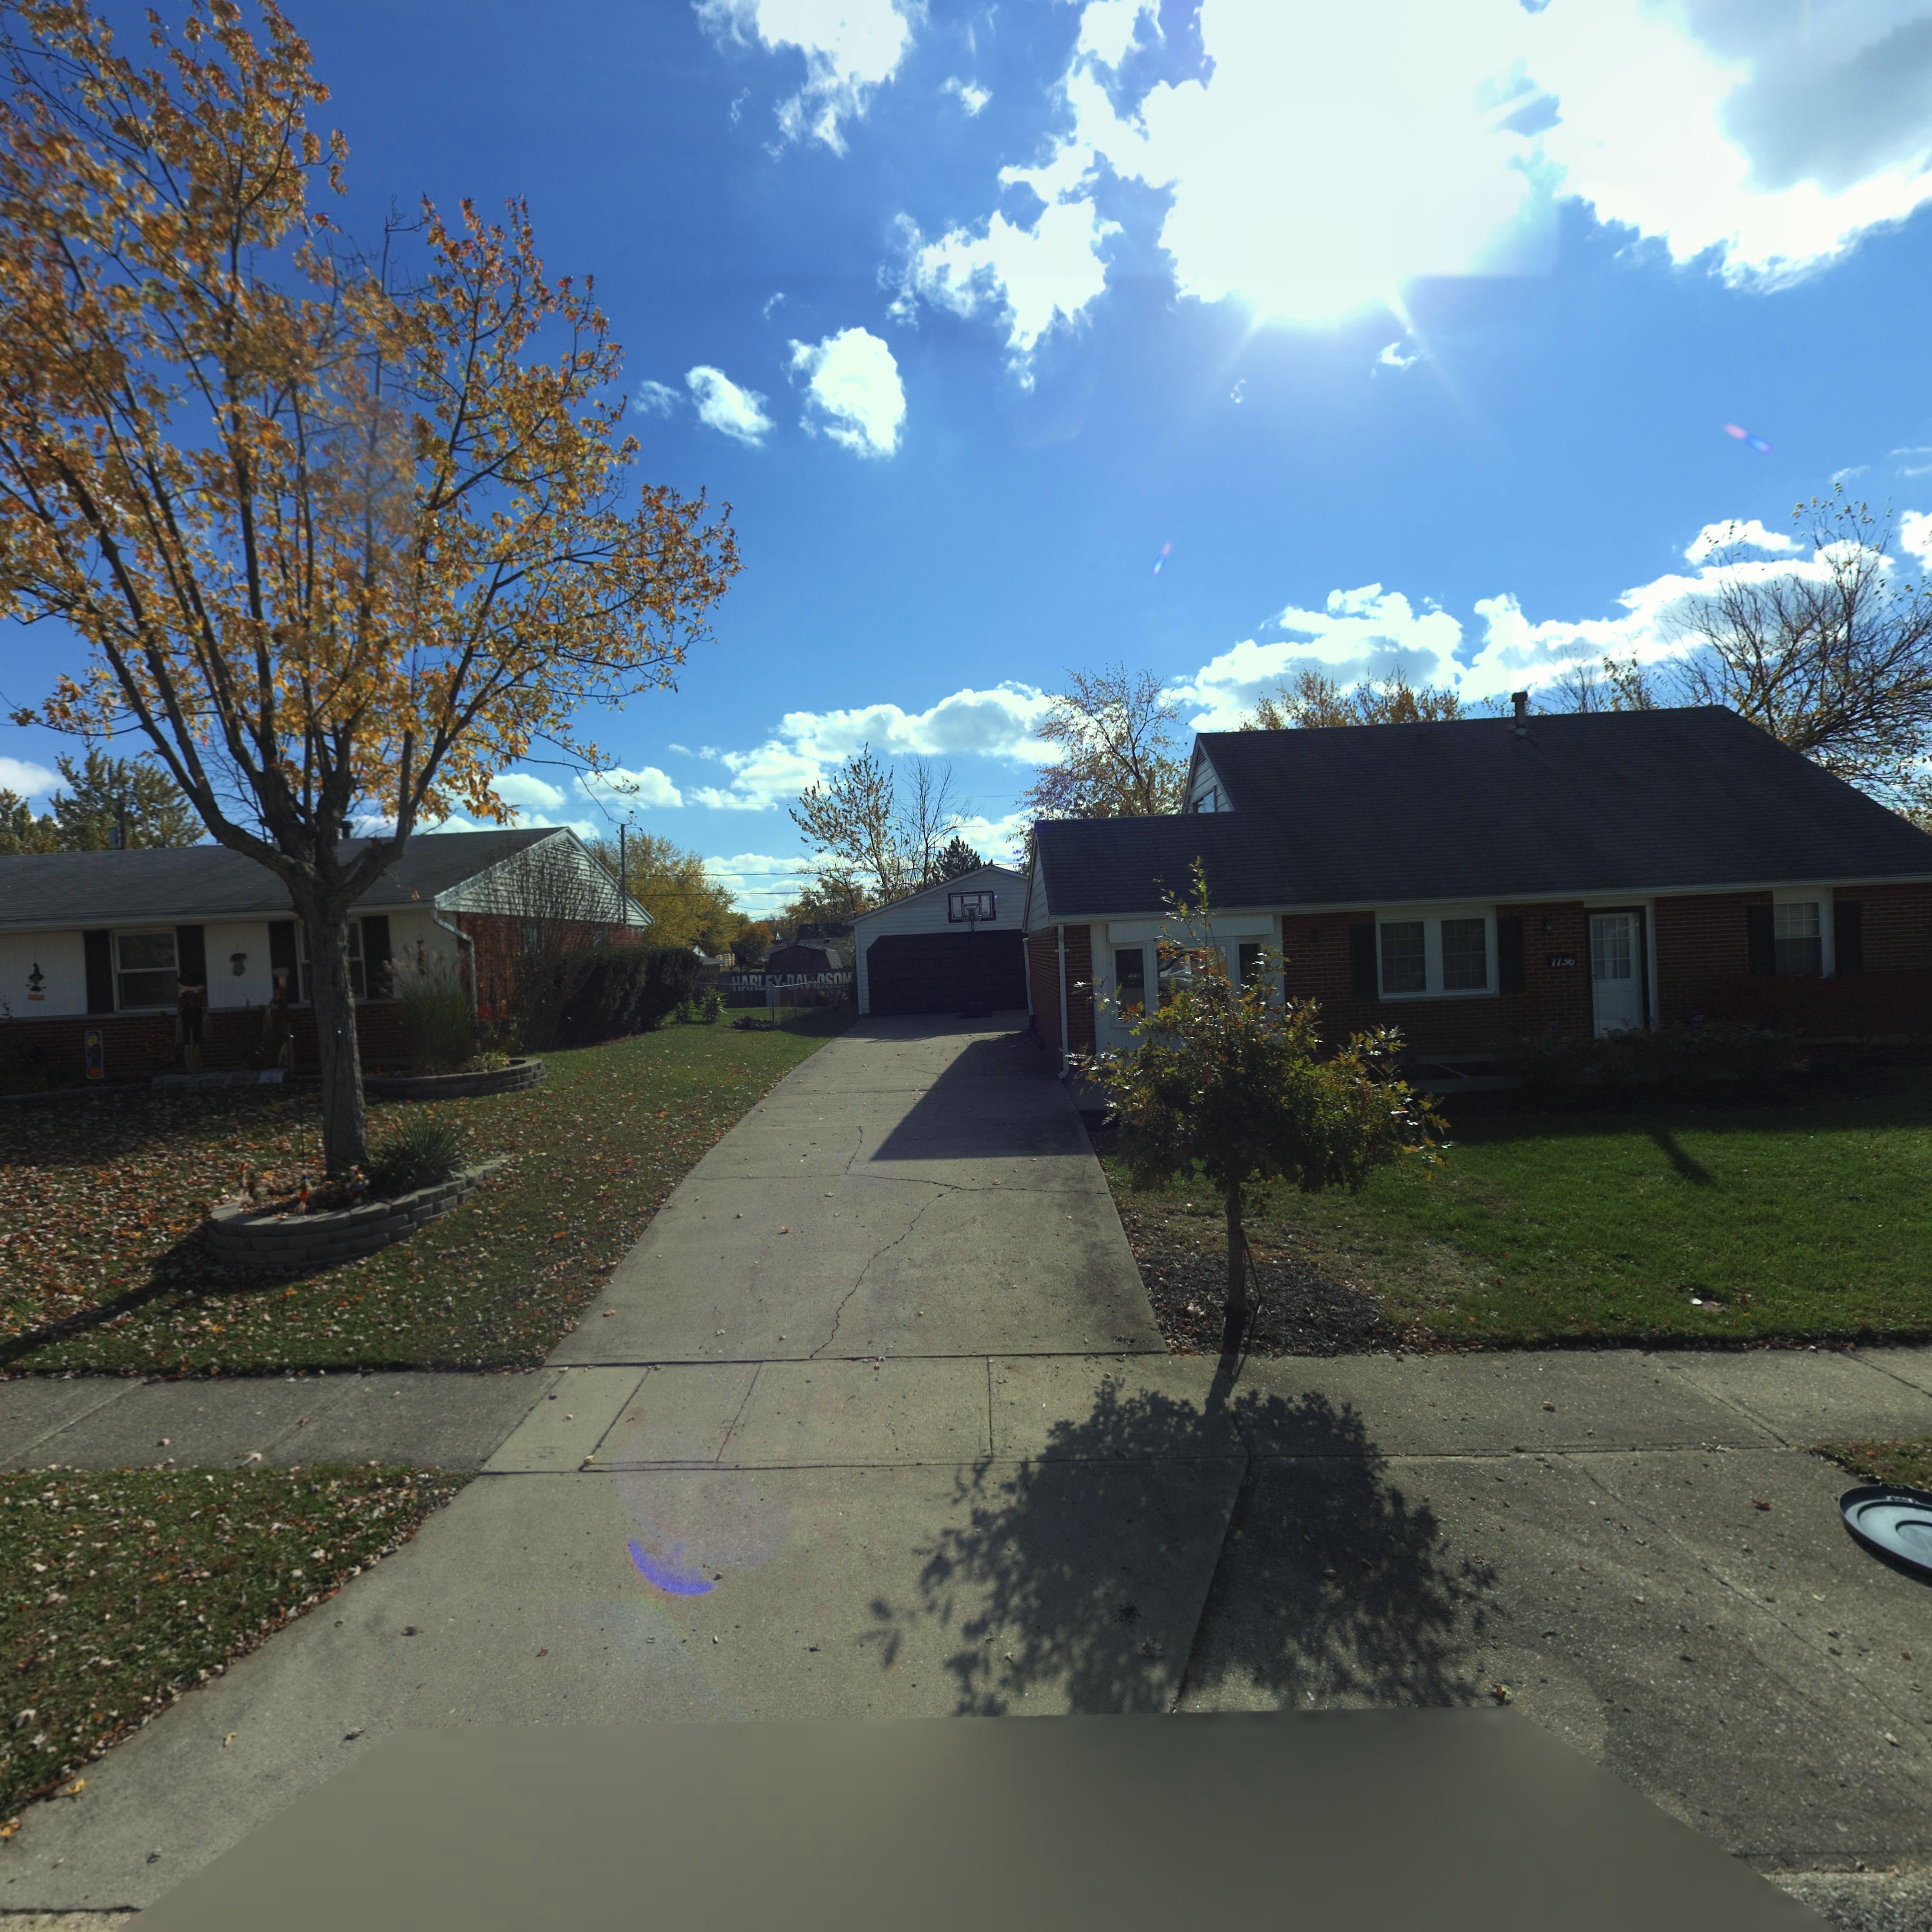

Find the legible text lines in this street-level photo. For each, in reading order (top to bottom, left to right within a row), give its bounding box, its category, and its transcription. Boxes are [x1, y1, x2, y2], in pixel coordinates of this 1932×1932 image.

[1550, 957, 1575, 967] StreetNumber: 7736